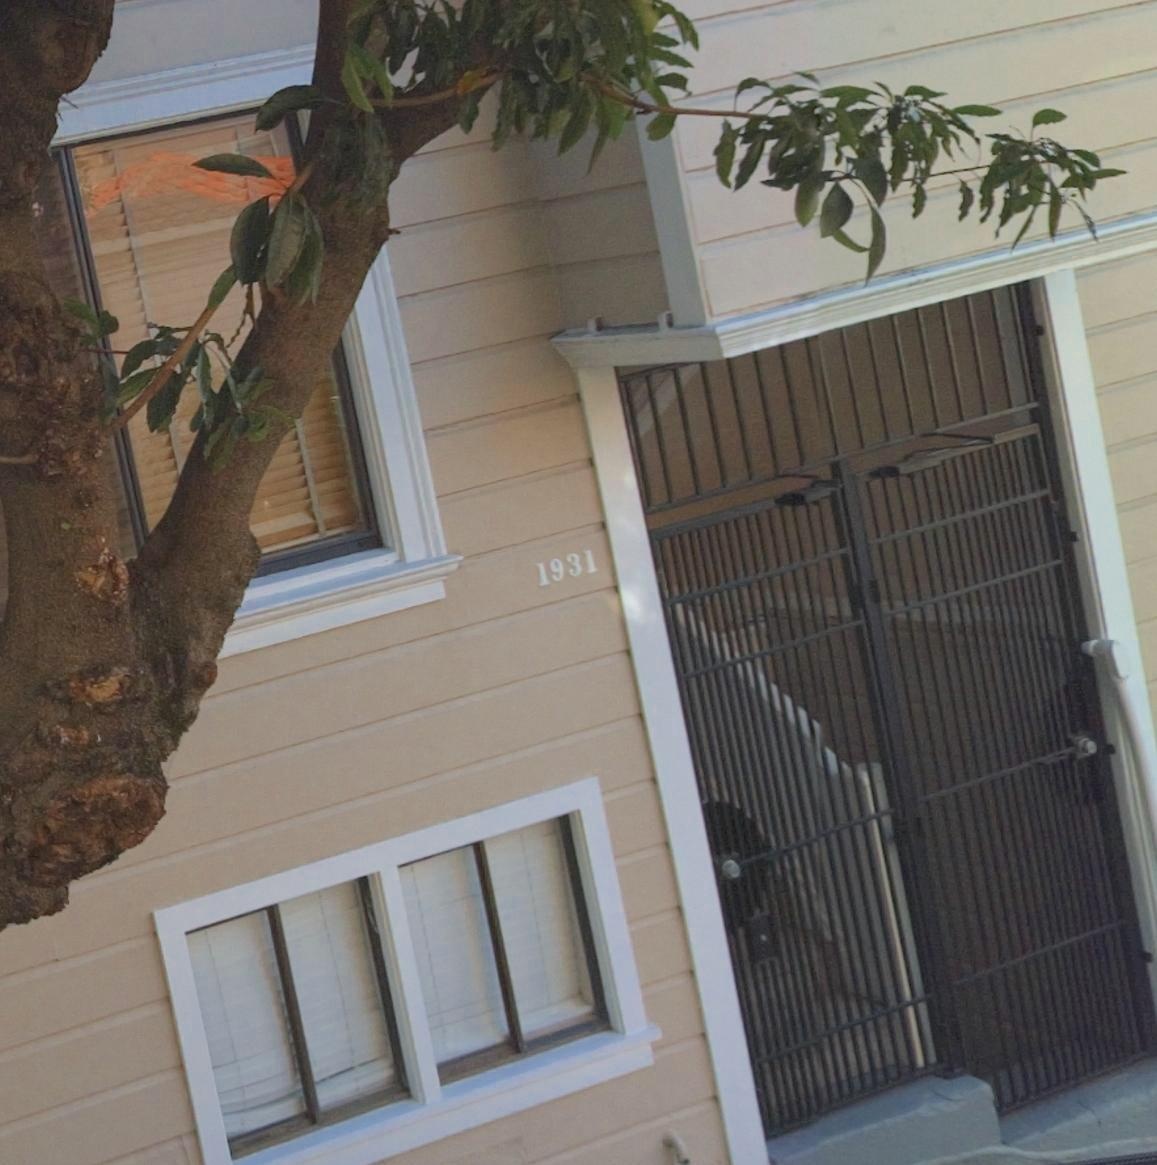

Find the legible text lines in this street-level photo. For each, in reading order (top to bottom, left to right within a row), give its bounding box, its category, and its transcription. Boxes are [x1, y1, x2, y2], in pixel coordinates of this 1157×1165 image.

[531, 545, 600, 591] StreetNumber: 1931